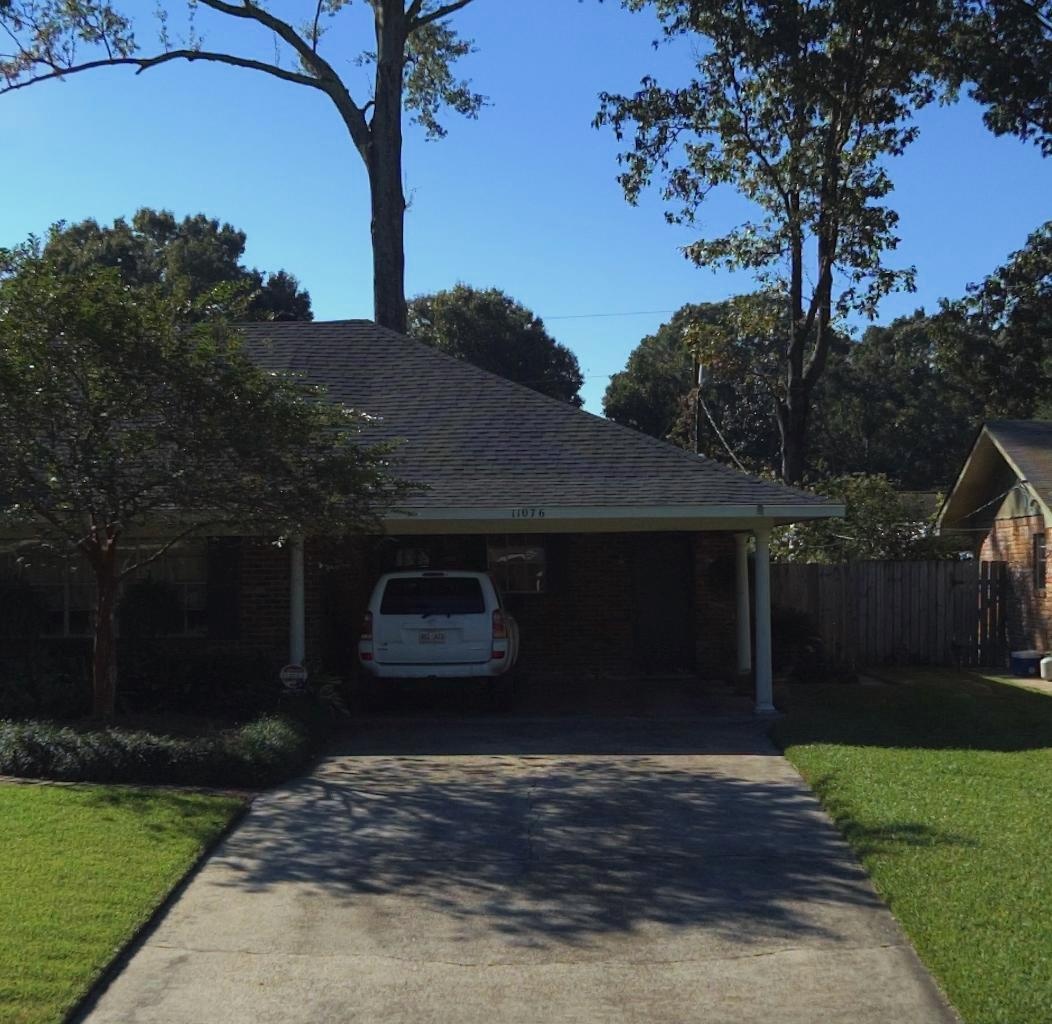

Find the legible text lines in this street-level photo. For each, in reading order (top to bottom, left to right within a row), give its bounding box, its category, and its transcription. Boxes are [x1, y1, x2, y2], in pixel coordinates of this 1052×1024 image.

[510, 507, 547, 520] StreetNumber: 11076